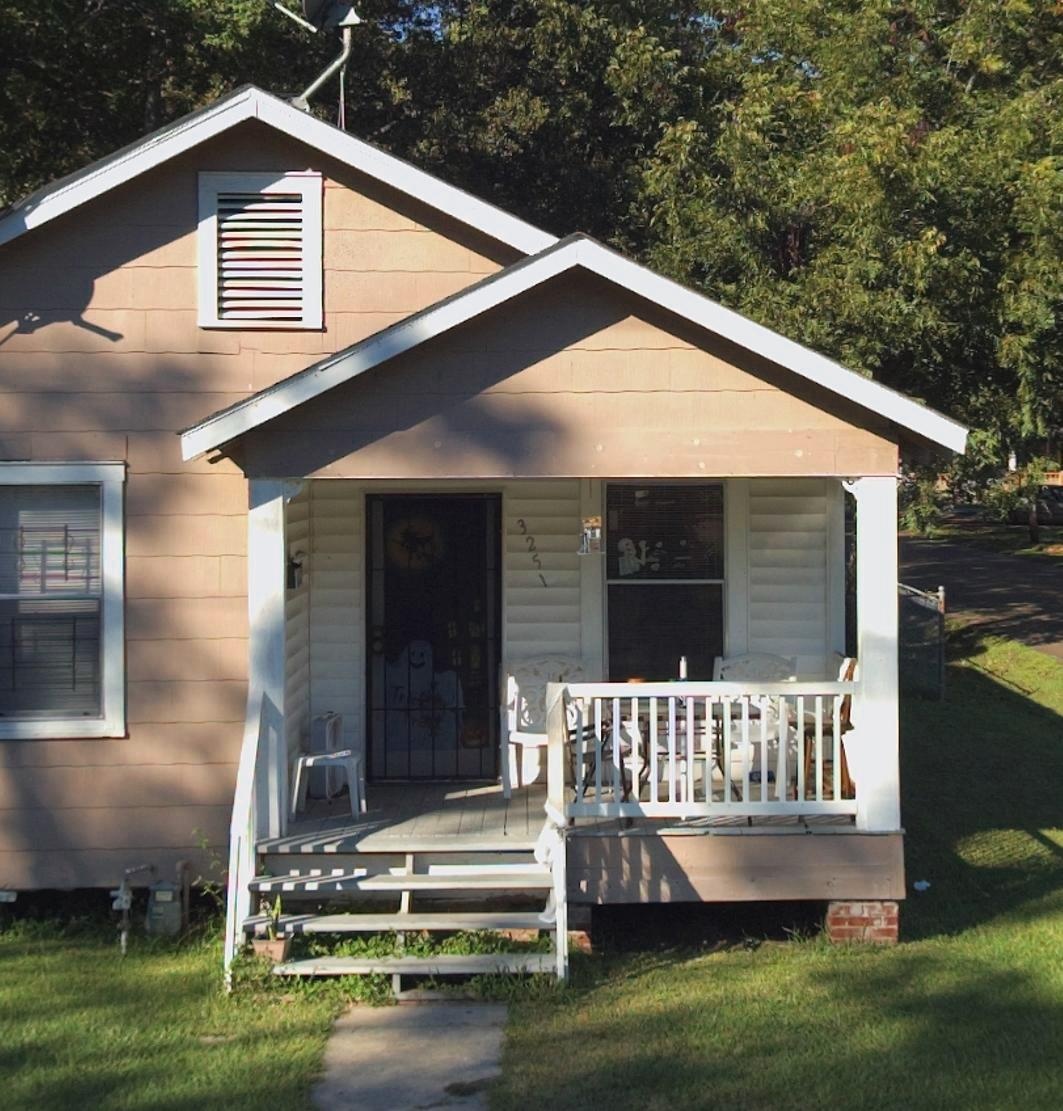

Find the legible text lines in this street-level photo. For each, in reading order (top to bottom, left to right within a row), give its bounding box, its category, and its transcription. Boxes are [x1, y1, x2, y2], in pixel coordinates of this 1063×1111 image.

[512, 511, 556, 595] StreetNumber: 3251
[387, 681, 409, 707] None: Tr